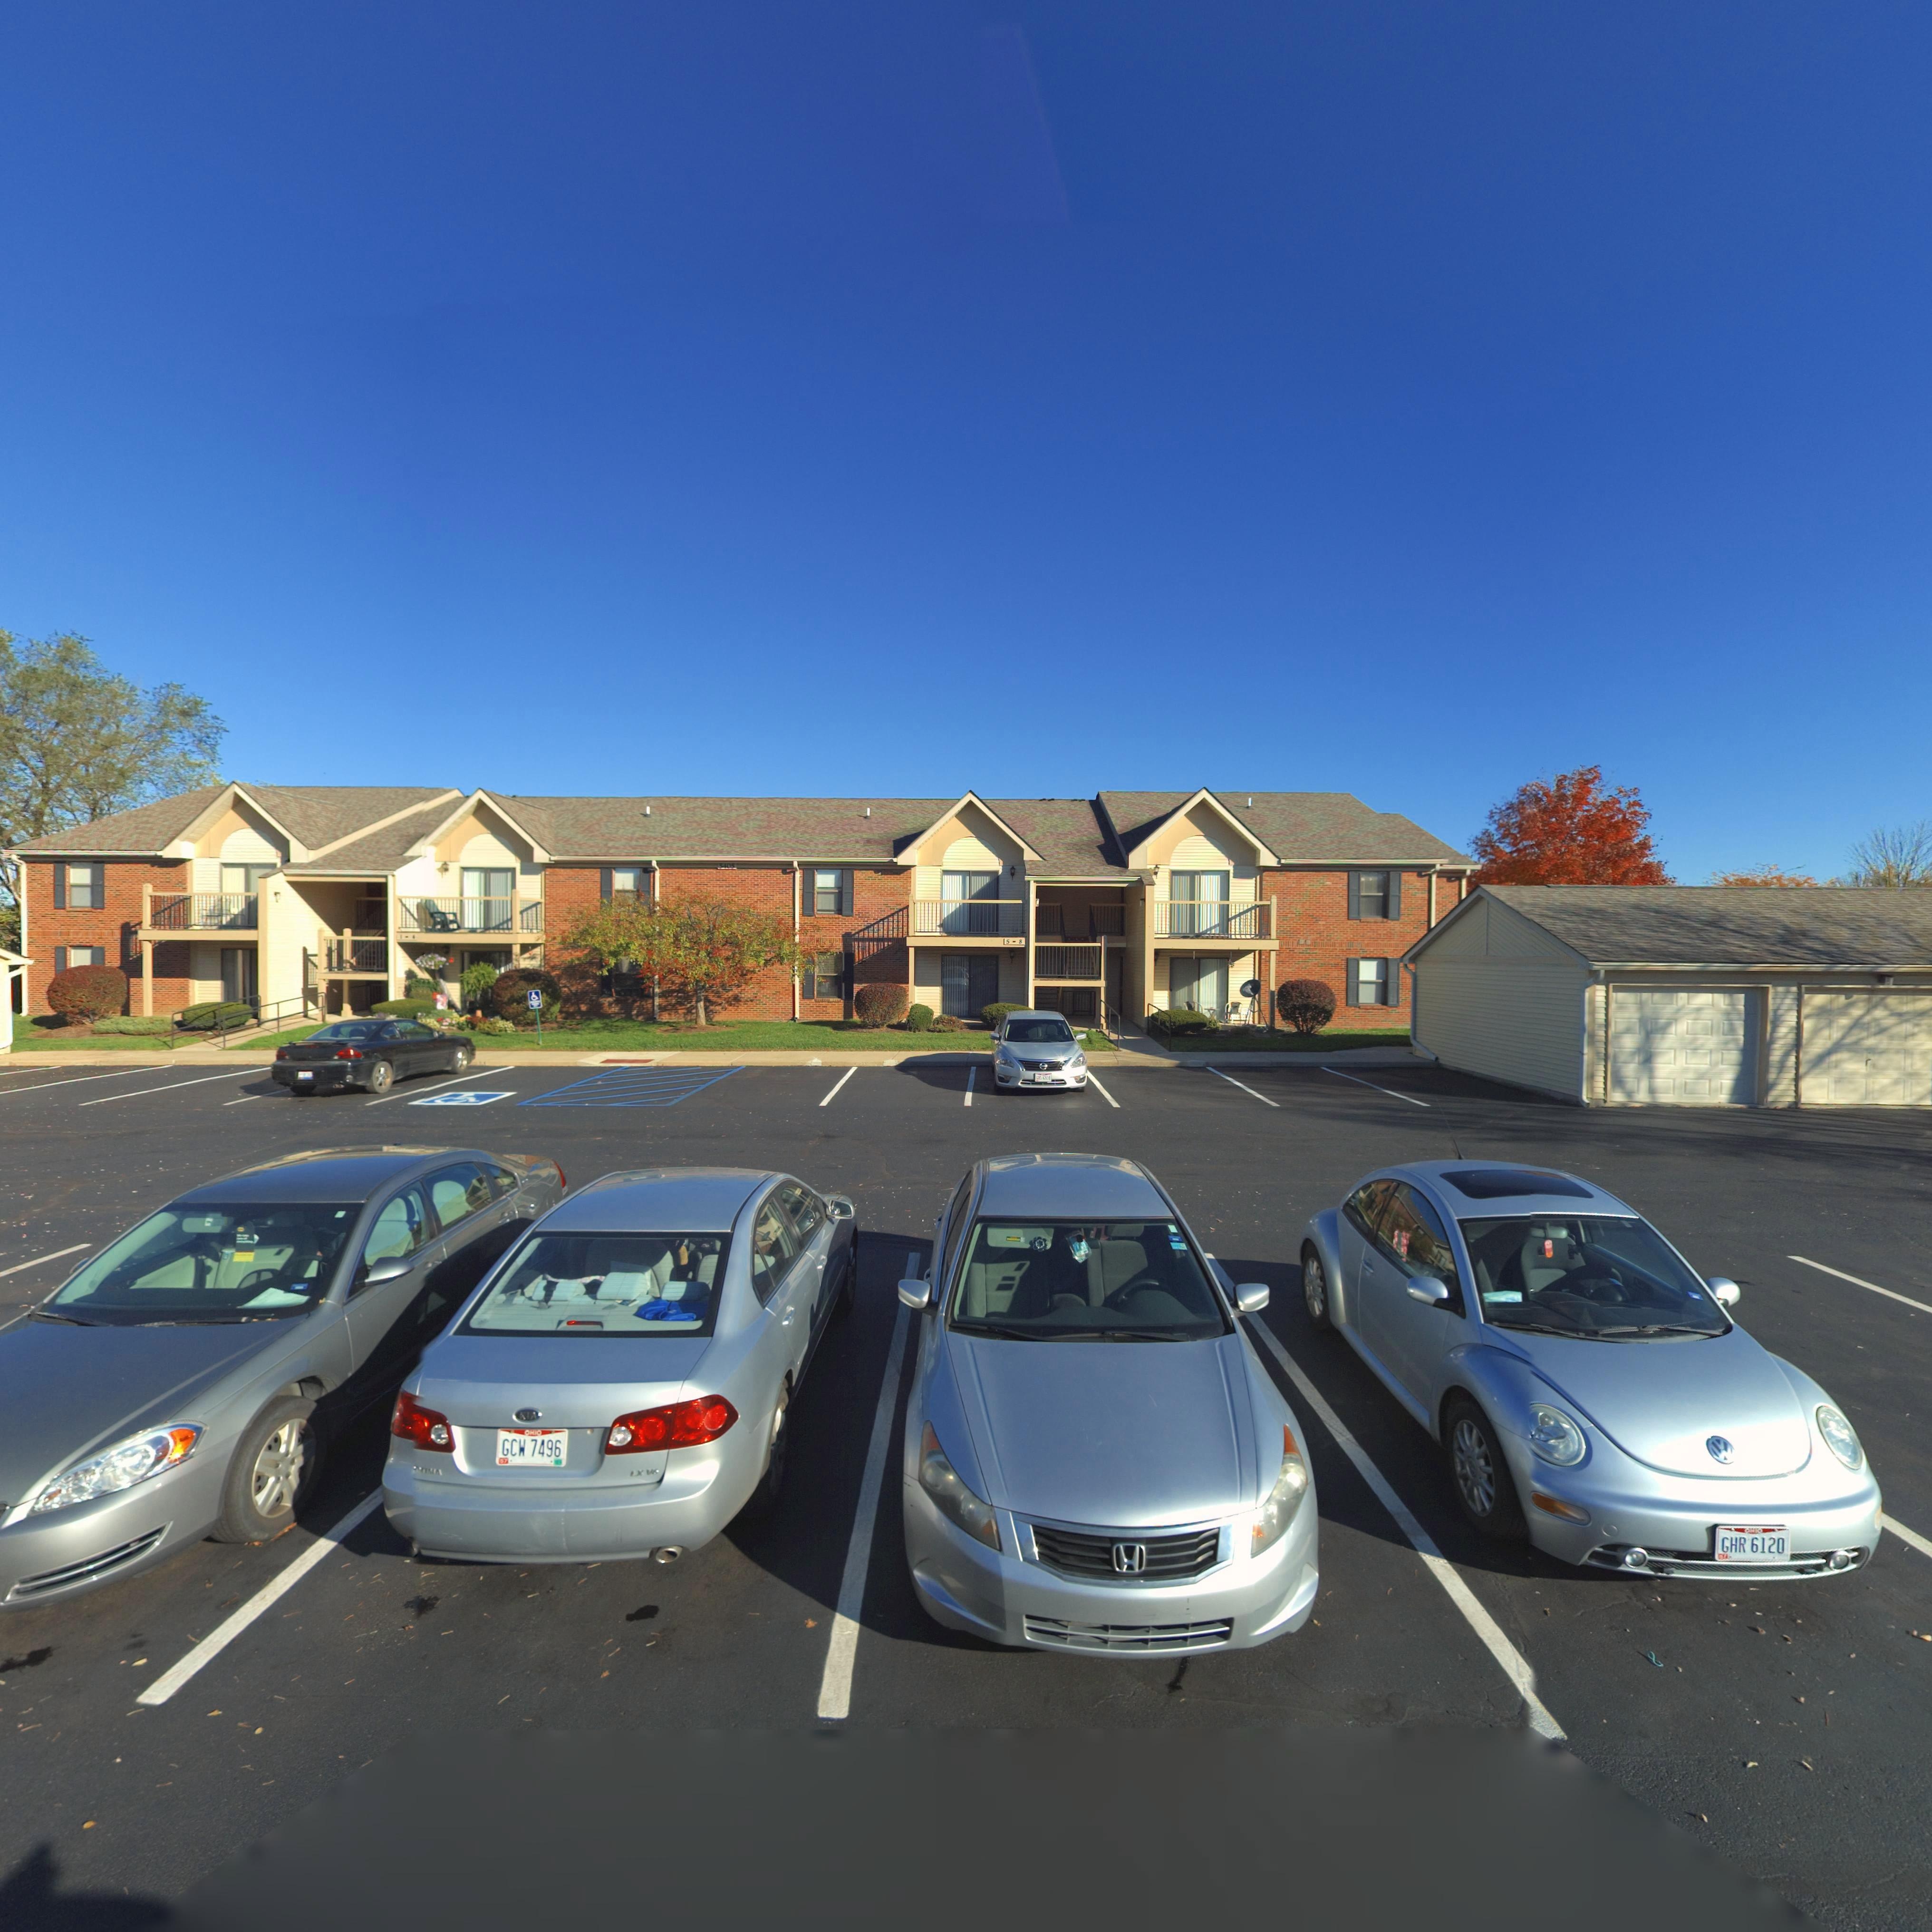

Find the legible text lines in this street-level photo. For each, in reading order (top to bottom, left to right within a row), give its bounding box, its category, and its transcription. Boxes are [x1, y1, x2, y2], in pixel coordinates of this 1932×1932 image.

[398, 933, 415, 939] StreetNumber: 1-4
[1005, 938, 1023, 944] StreetNumber: 5-8